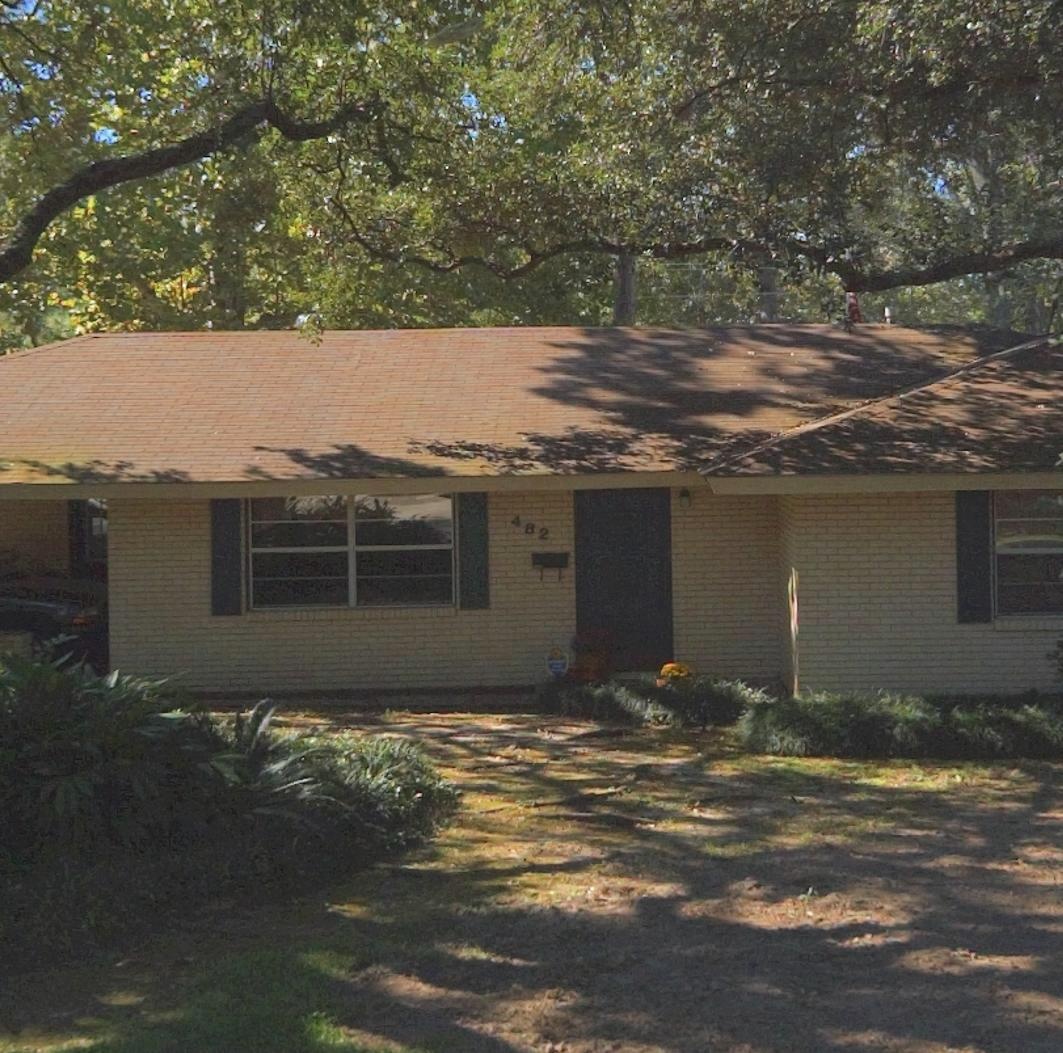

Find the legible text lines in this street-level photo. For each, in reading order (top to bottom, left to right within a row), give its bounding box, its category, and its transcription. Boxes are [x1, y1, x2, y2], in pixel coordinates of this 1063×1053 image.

[508, 514, 551, 543] StreetNumber: 482